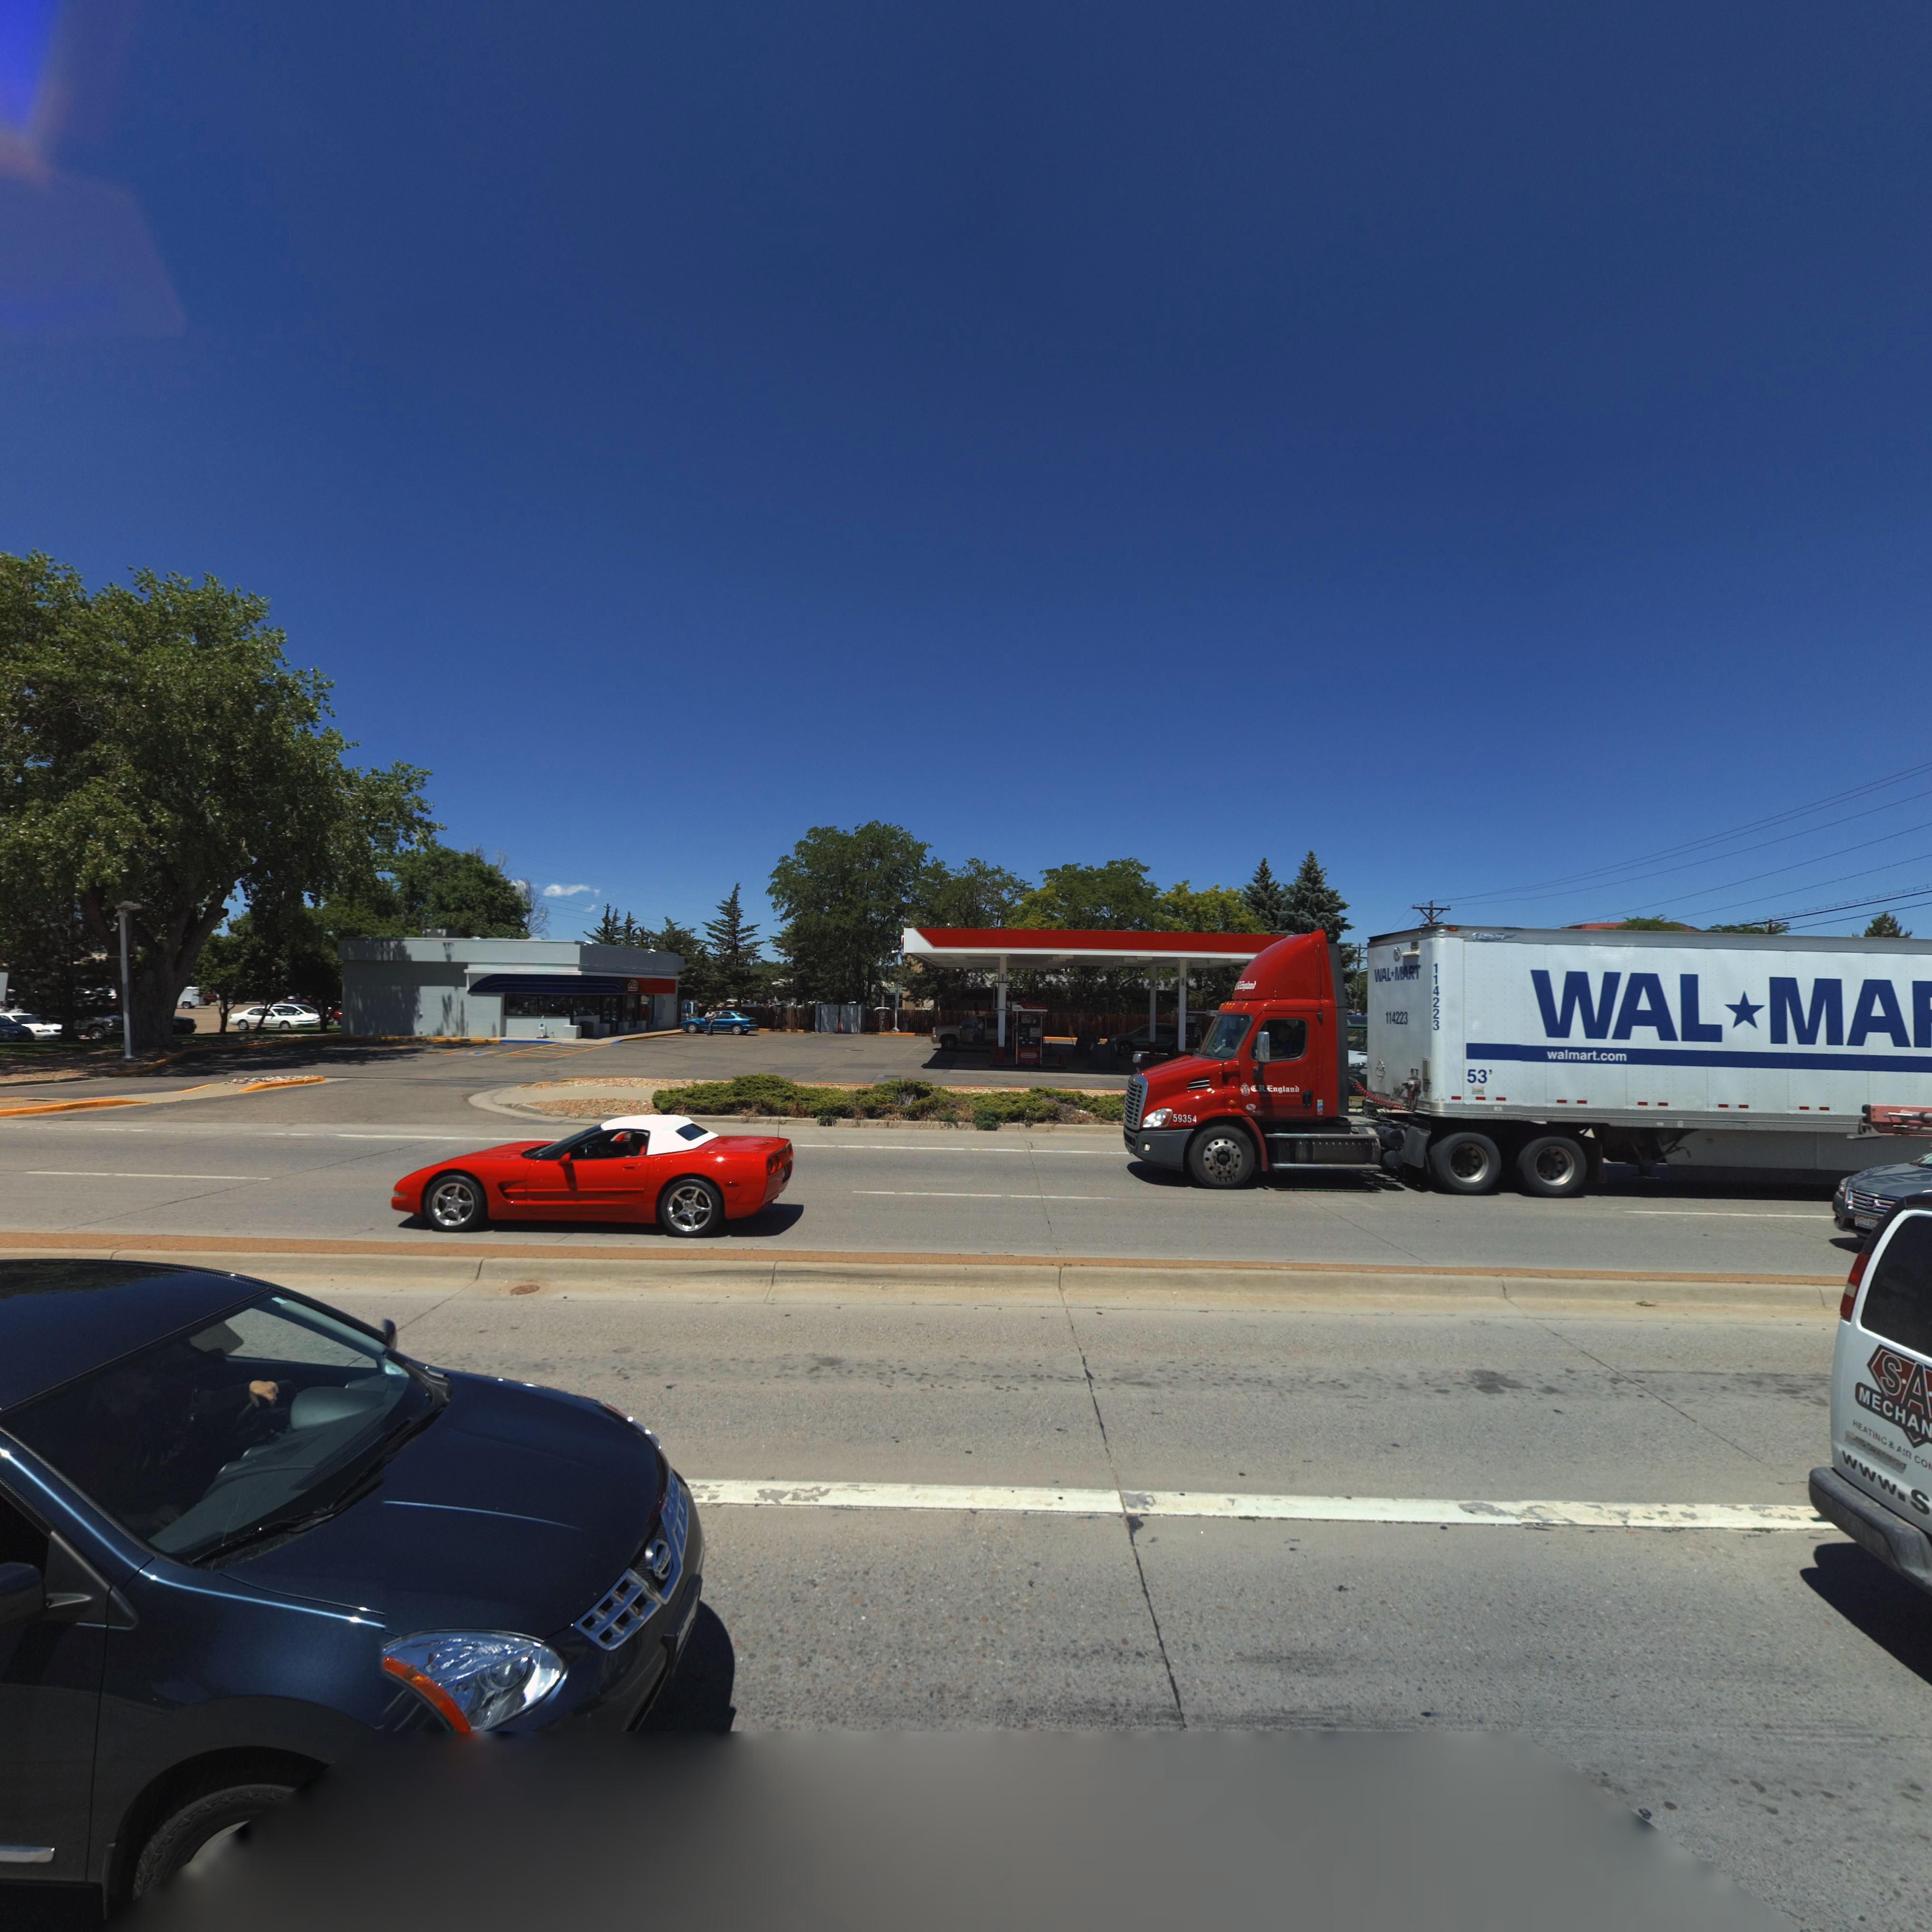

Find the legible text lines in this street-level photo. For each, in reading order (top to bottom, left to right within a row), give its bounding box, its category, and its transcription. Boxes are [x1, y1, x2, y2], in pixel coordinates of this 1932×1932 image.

[1022, 1054, 1035, 1056] BusinessName: co*o*o